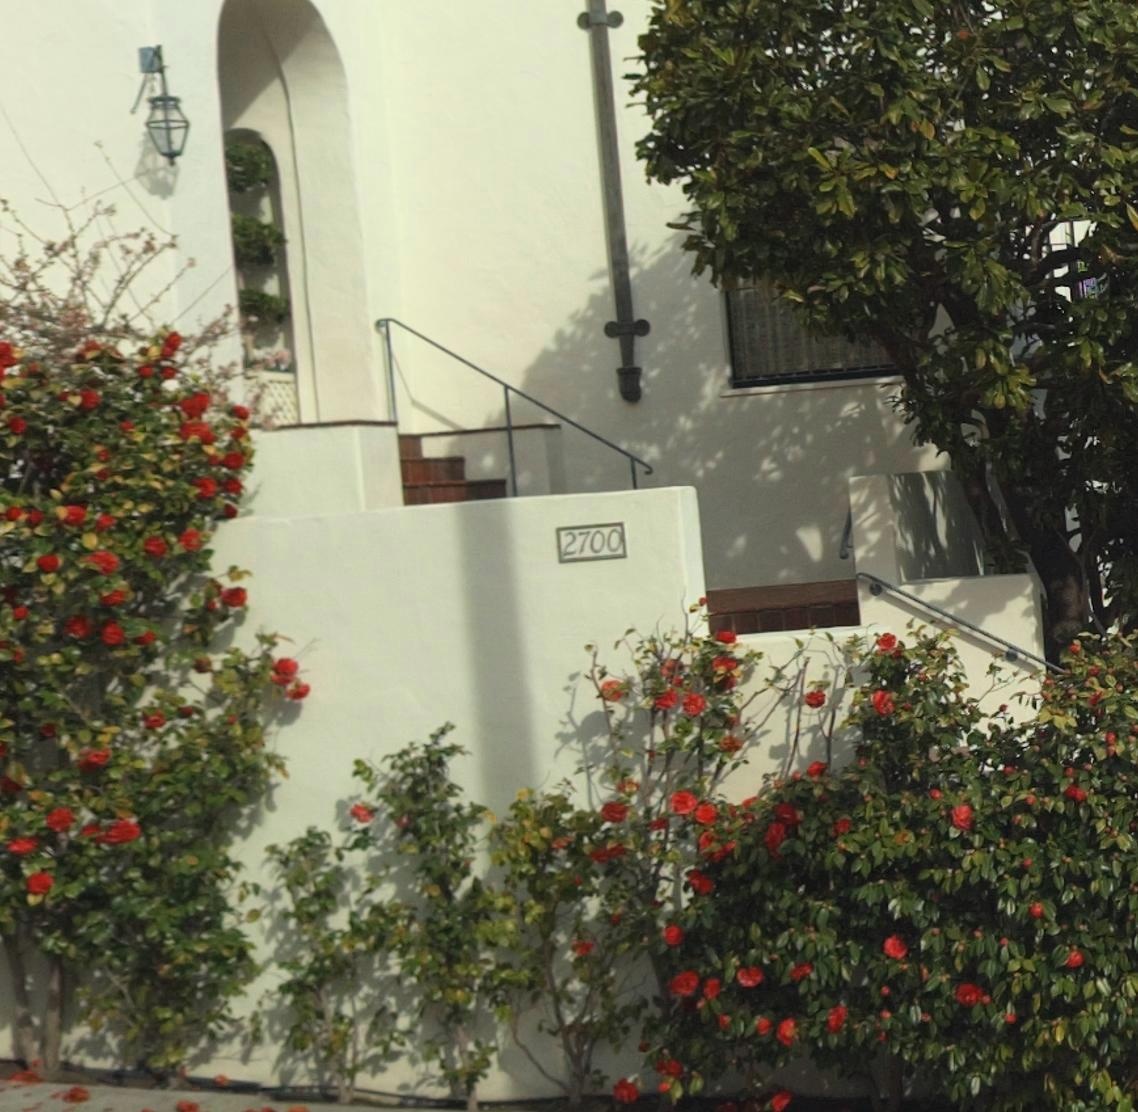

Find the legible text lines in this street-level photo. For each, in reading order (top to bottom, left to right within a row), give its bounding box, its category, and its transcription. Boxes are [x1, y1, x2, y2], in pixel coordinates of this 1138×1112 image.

[559, 525, 626, 559] StreetNumber: 2700